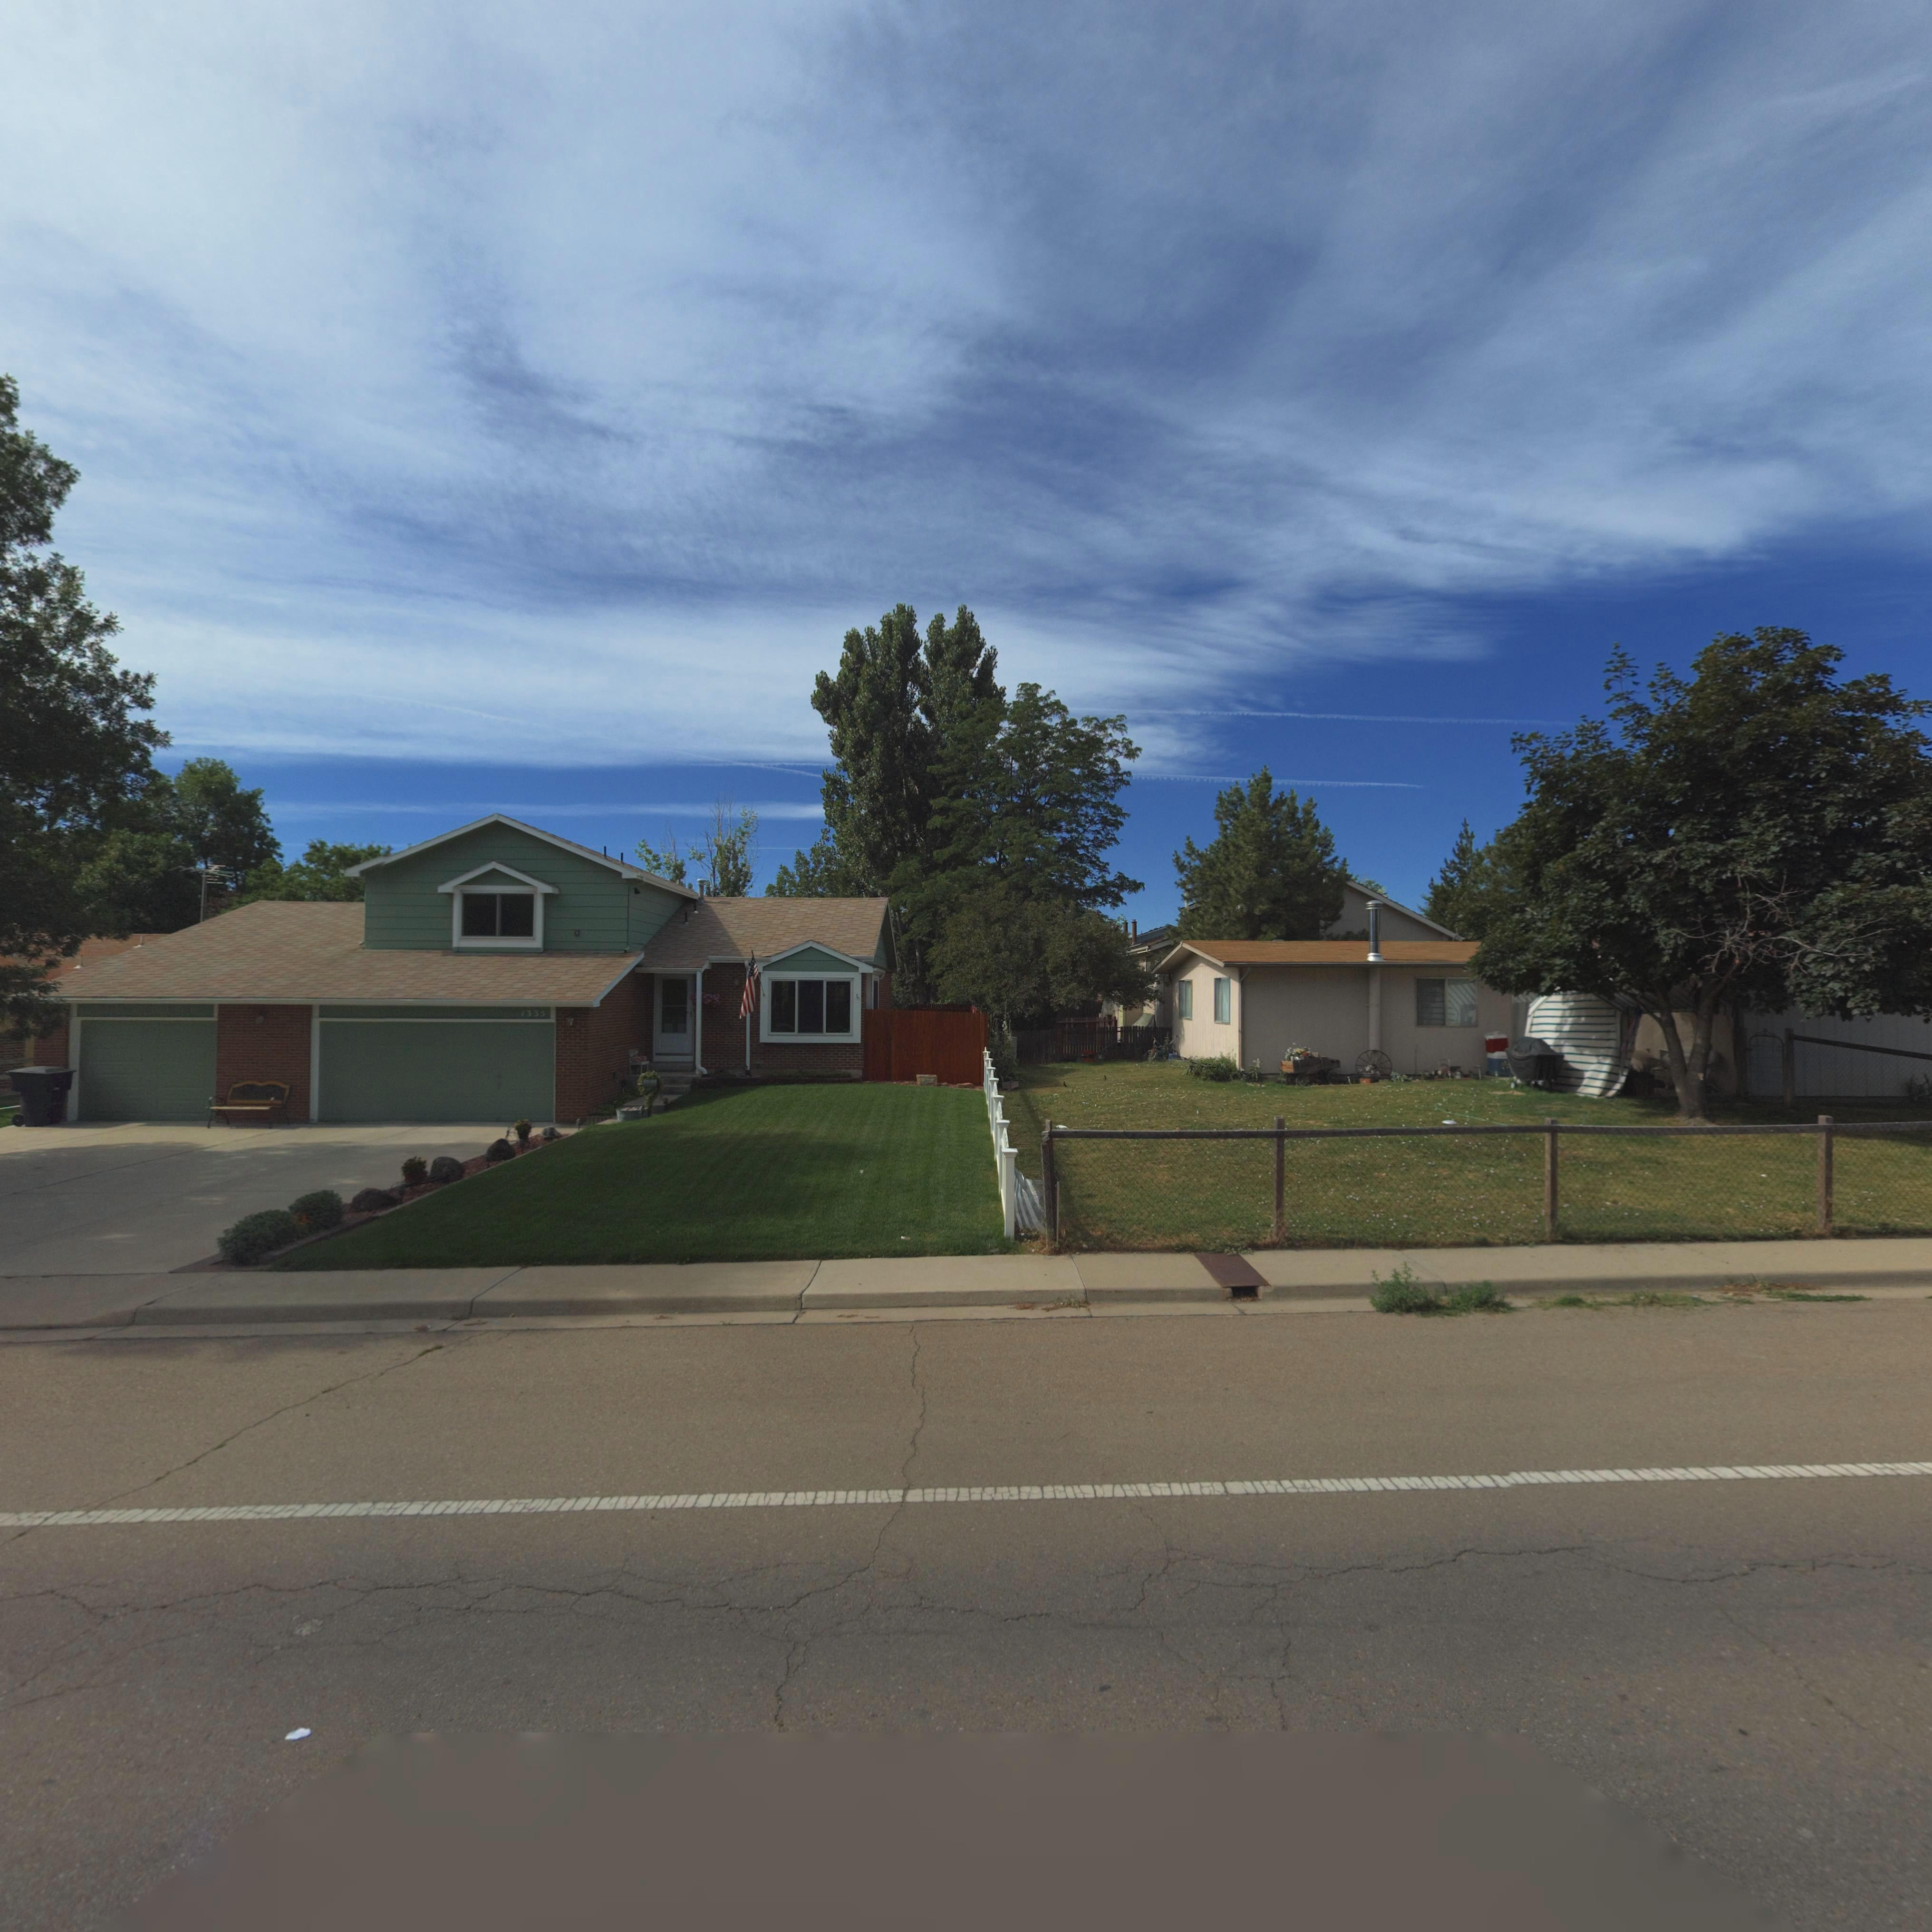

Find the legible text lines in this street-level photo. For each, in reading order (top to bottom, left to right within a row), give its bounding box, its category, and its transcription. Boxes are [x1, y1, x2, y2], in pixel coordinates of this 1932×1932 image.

[521, 1009, 545, 1017] StreetNumber: 1335